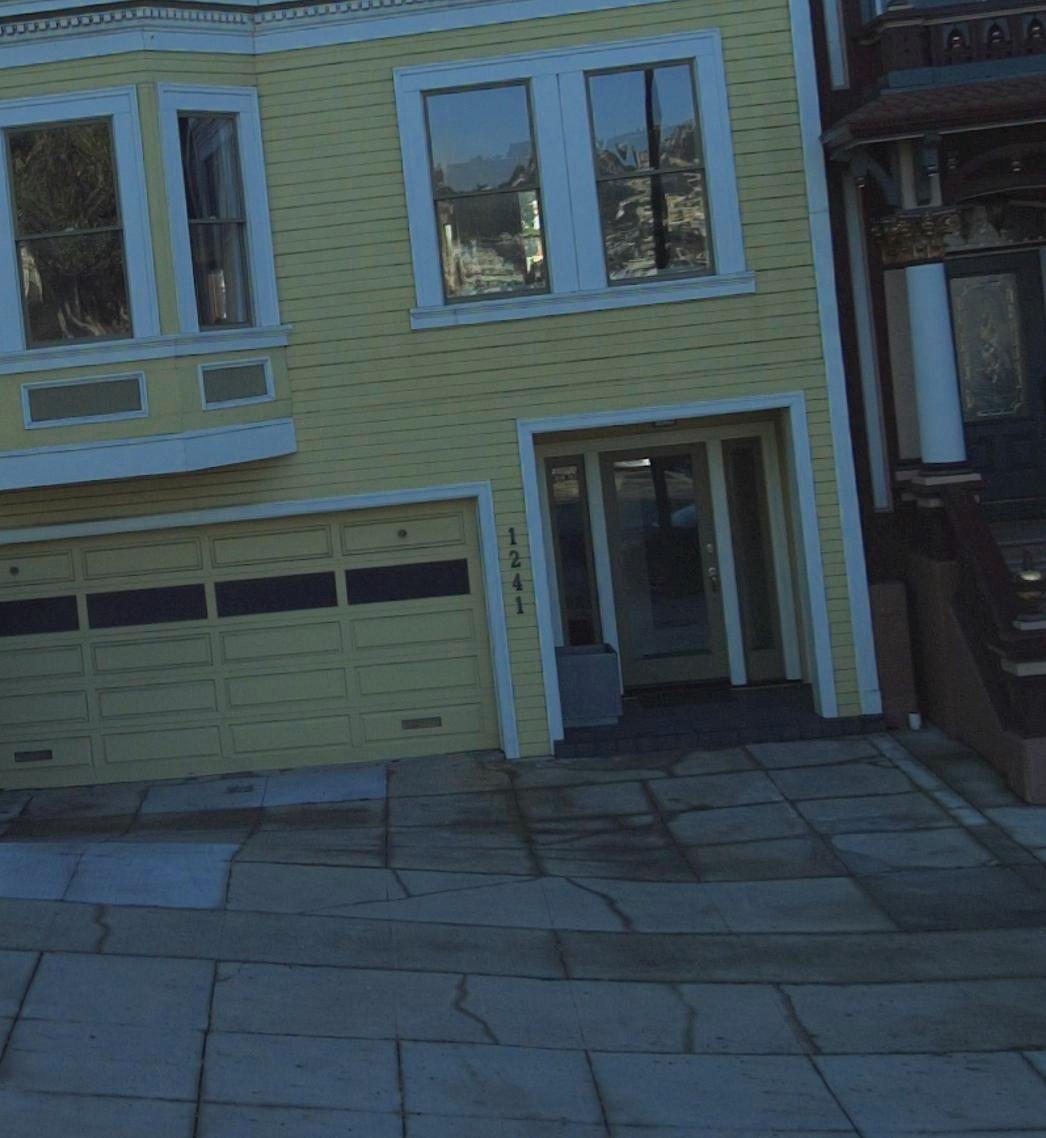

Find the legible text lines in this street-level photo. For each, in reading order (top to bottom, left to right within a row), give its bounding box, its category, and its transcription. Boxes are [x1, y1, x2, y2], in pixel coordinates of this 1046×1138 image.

[507, 526, 527, 616] StreetNumber: 1241